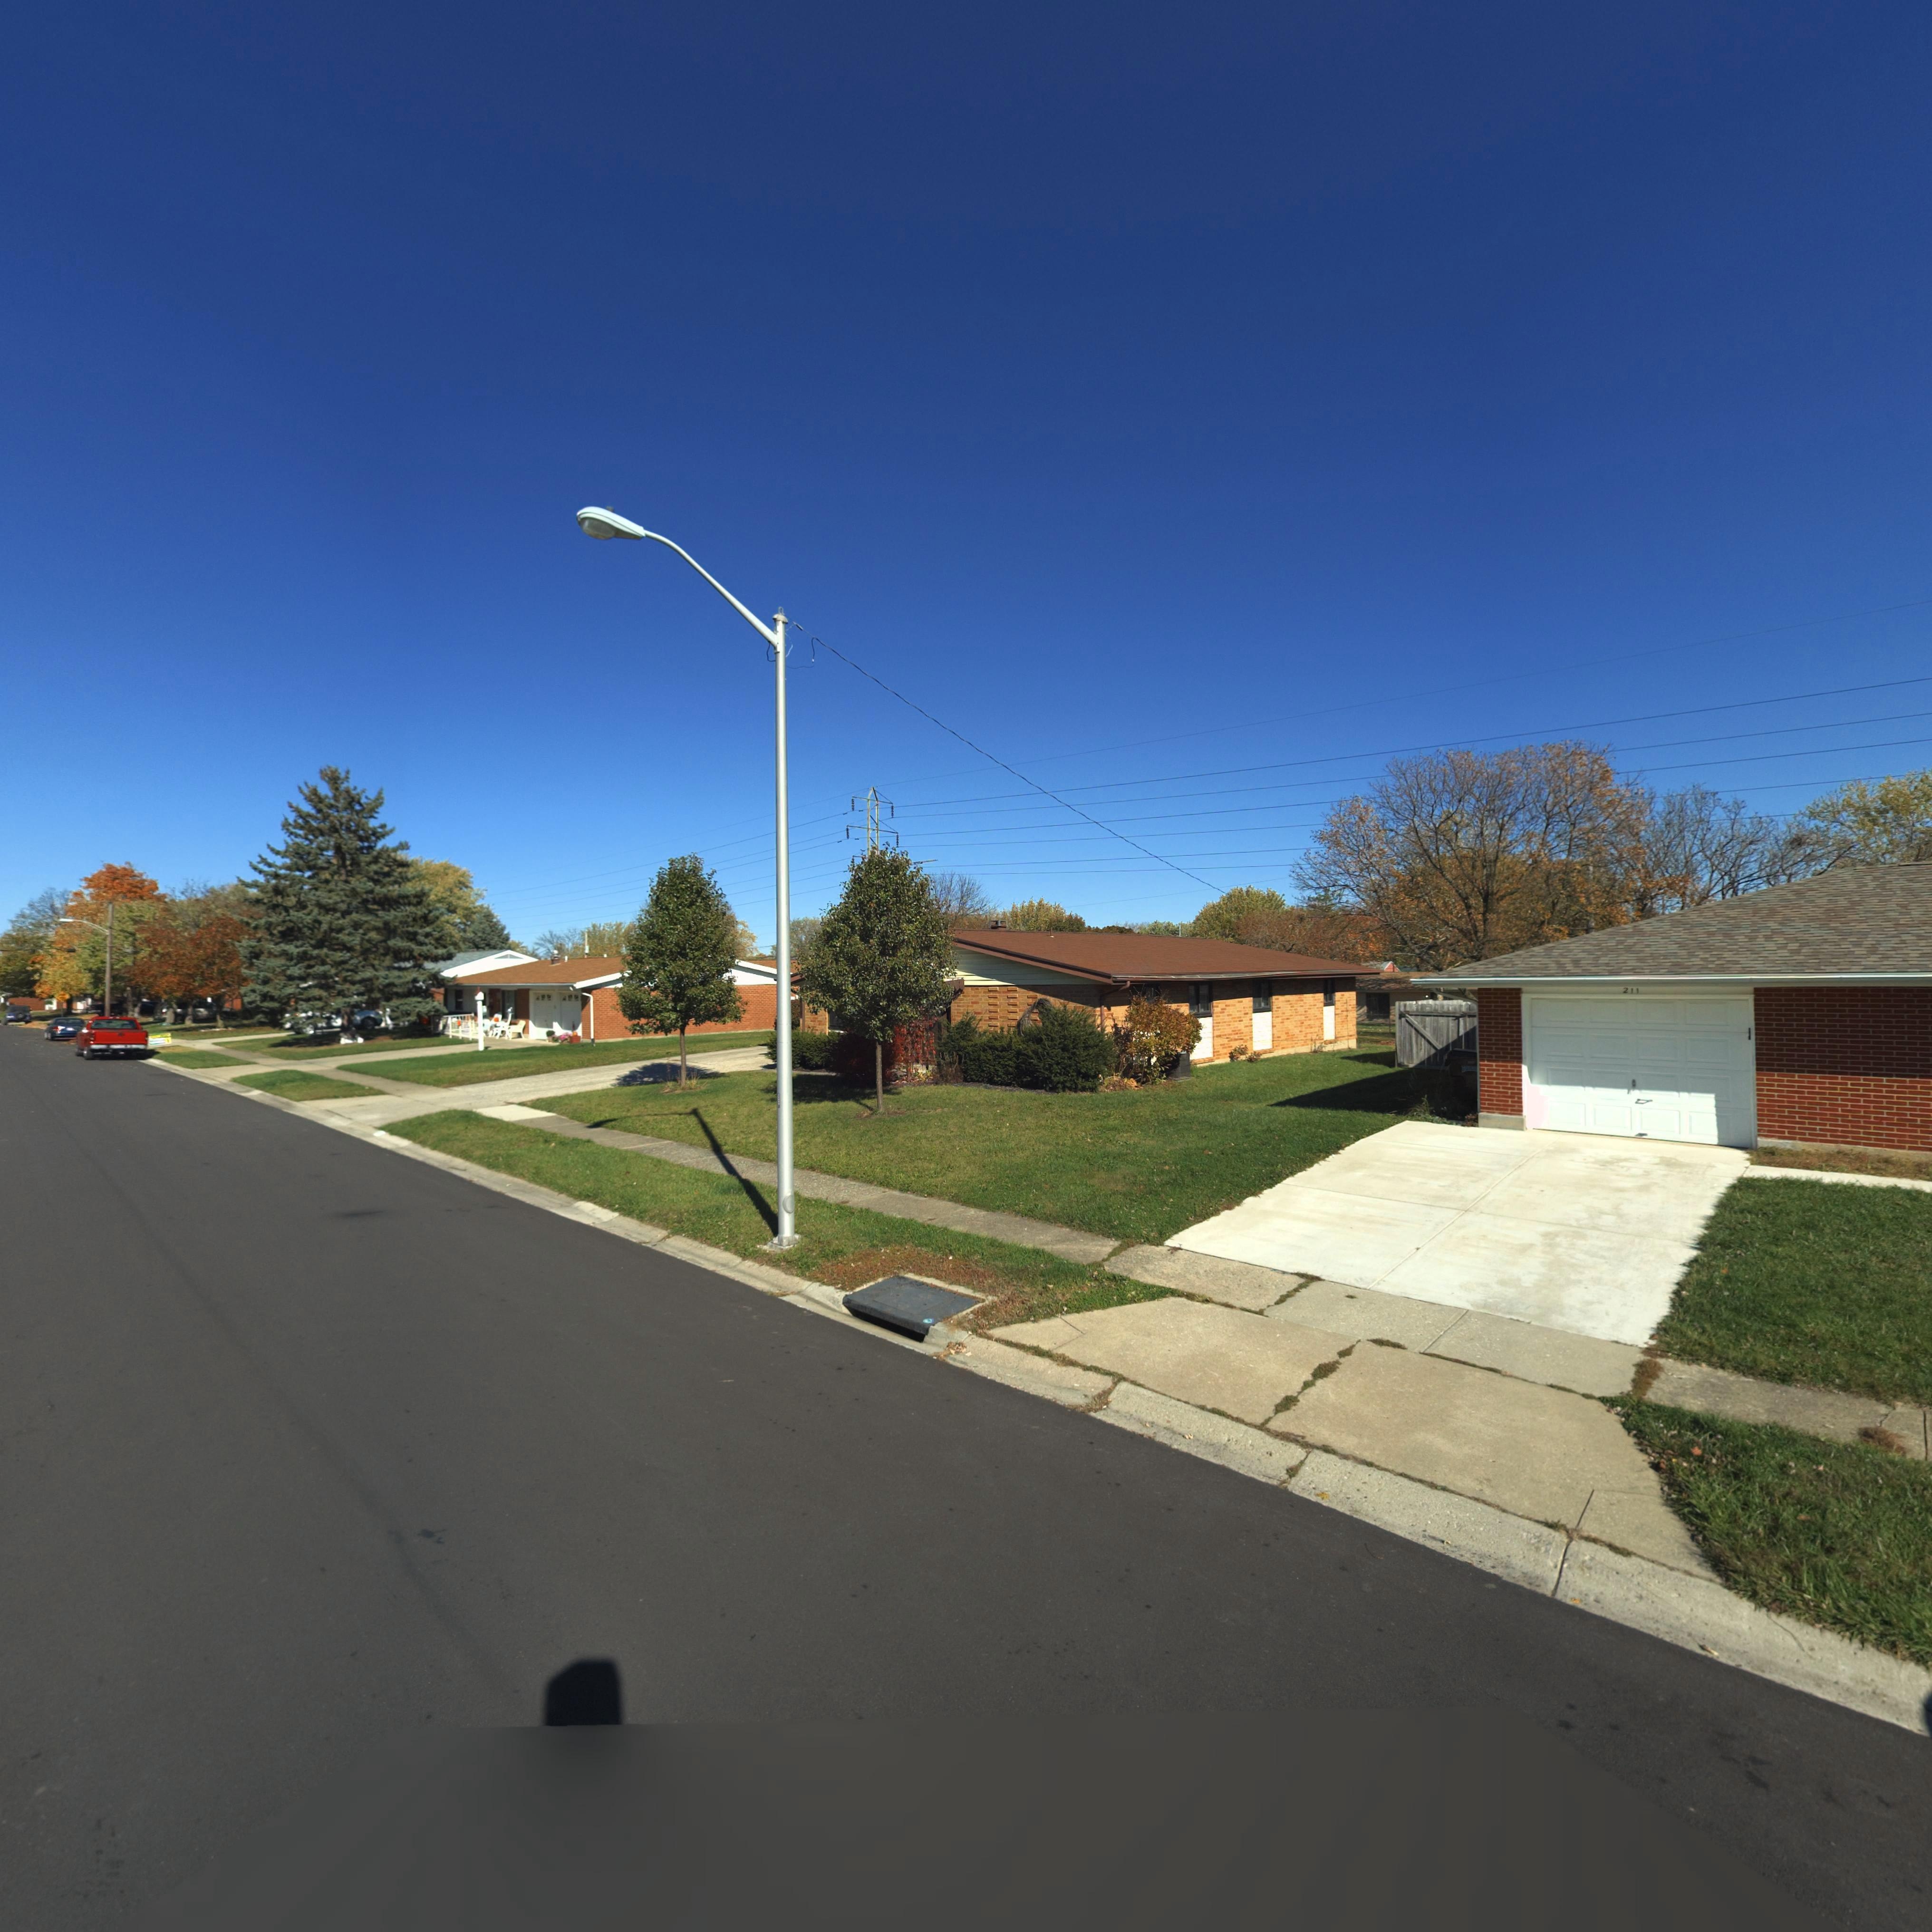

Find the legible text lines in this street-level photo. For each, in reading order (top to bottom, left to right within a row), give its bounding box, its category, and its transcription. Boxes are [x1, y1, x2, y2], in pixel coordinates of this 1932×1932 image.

[1622, 987, 1639, 994] StreetNumber: 211